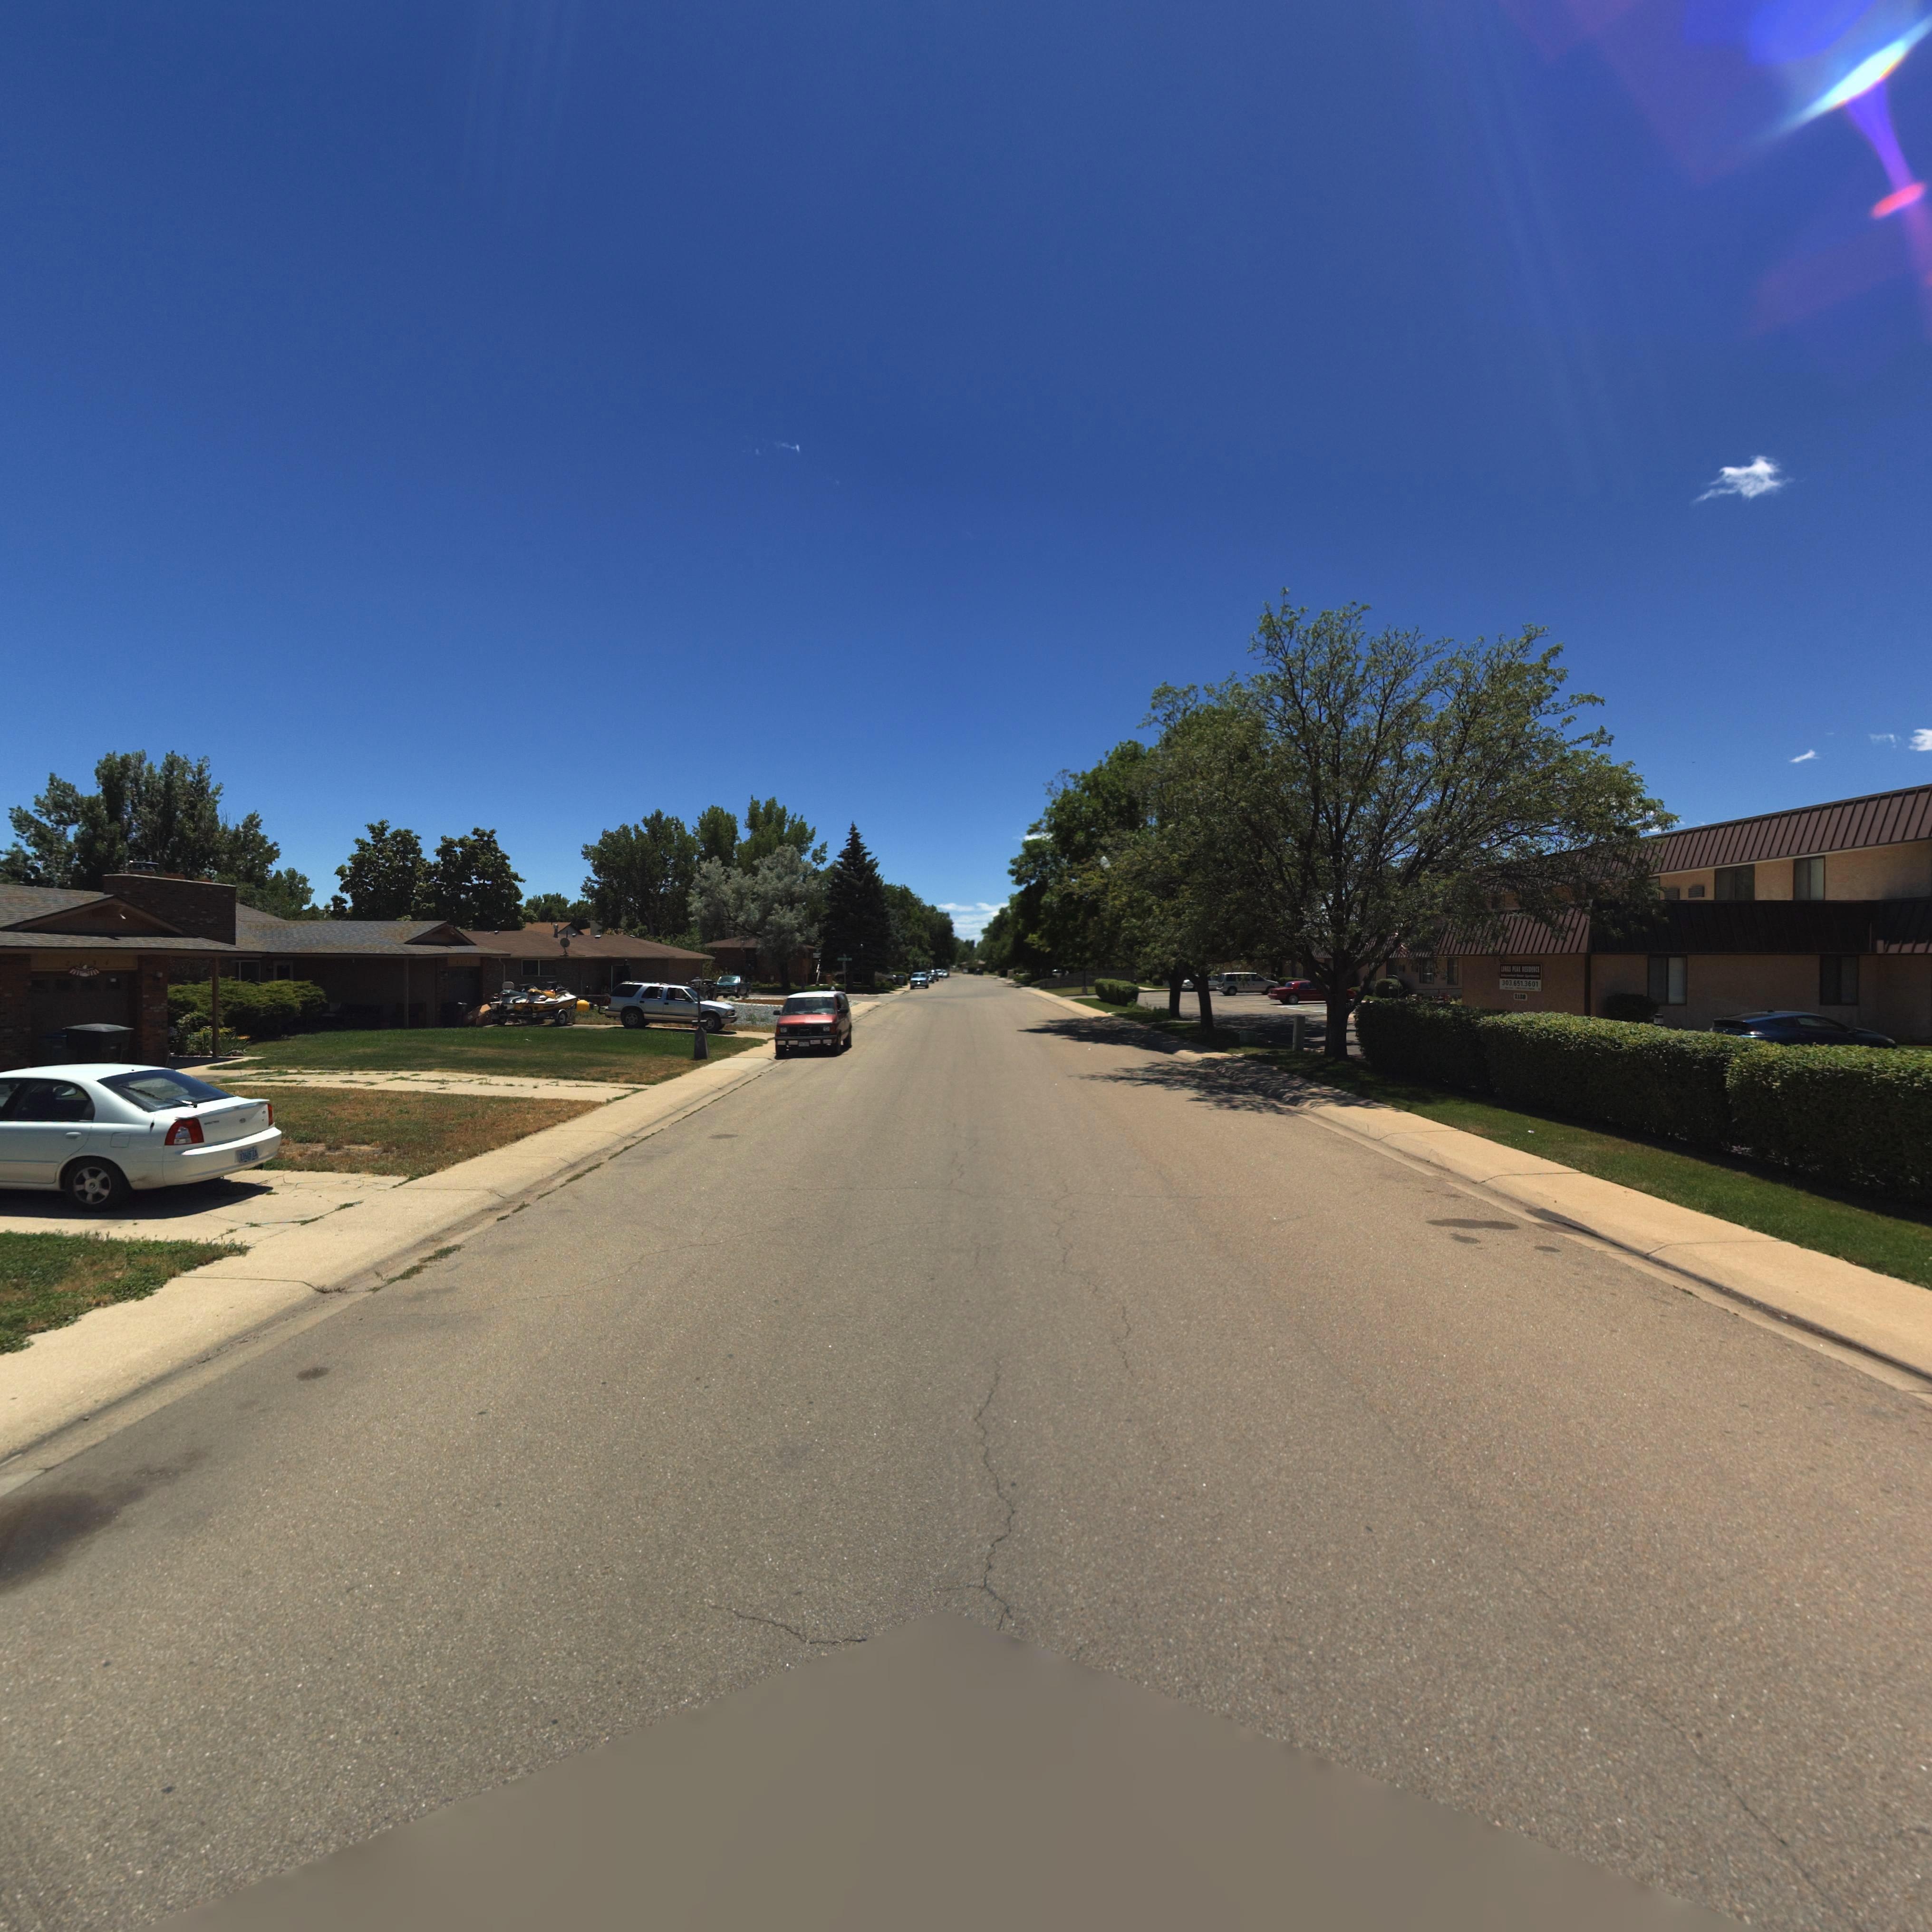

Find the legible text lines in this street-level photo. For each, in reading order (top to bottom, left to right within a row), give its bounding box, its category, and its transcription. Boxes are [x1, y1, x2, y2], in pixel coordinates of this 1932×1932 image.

[64, 958, 111, 967] StreetNumber: 2134
[1499, 965, 1540, 973] BusinessName: LONGS PEAK RESIDENCE
[1514, 993, 1526, 1000] StreetNumber: 2139